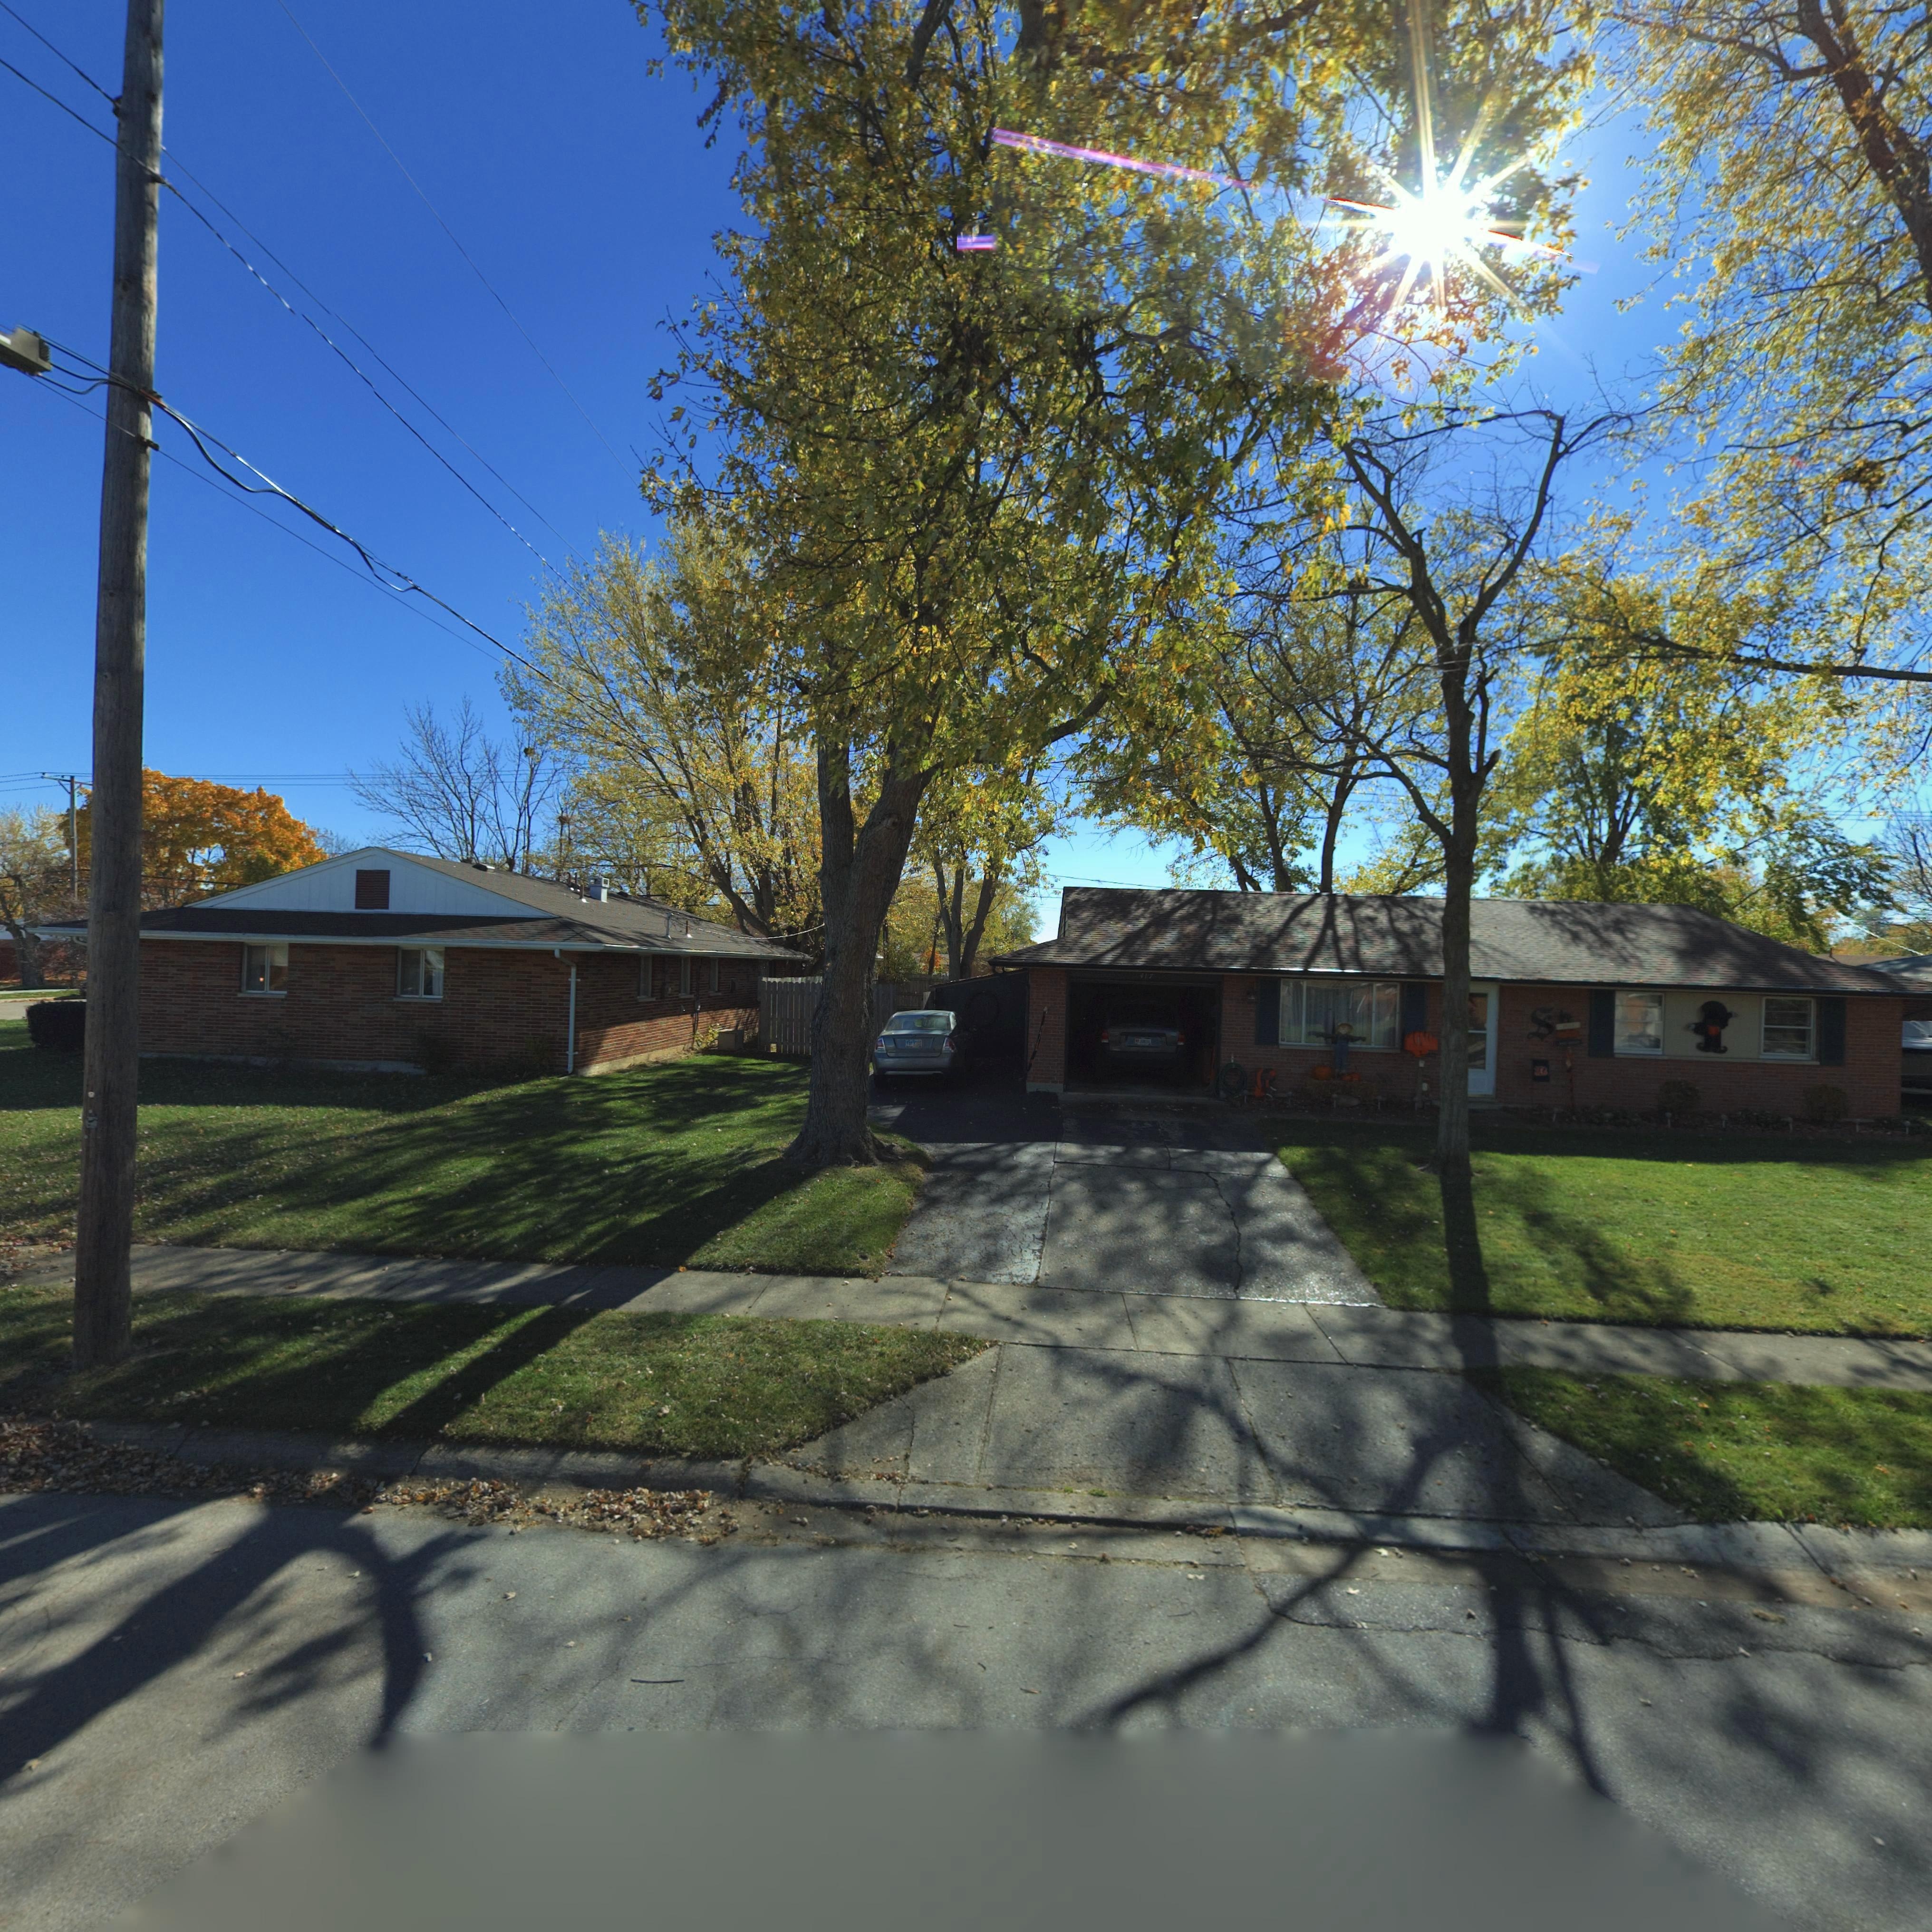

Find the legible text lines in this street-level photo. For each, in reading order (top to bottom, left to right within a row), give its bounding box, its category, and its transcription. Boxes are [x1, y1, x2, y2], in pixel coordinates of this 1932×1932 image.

[1138, 972, 1155, 980] StreetNumber: 417